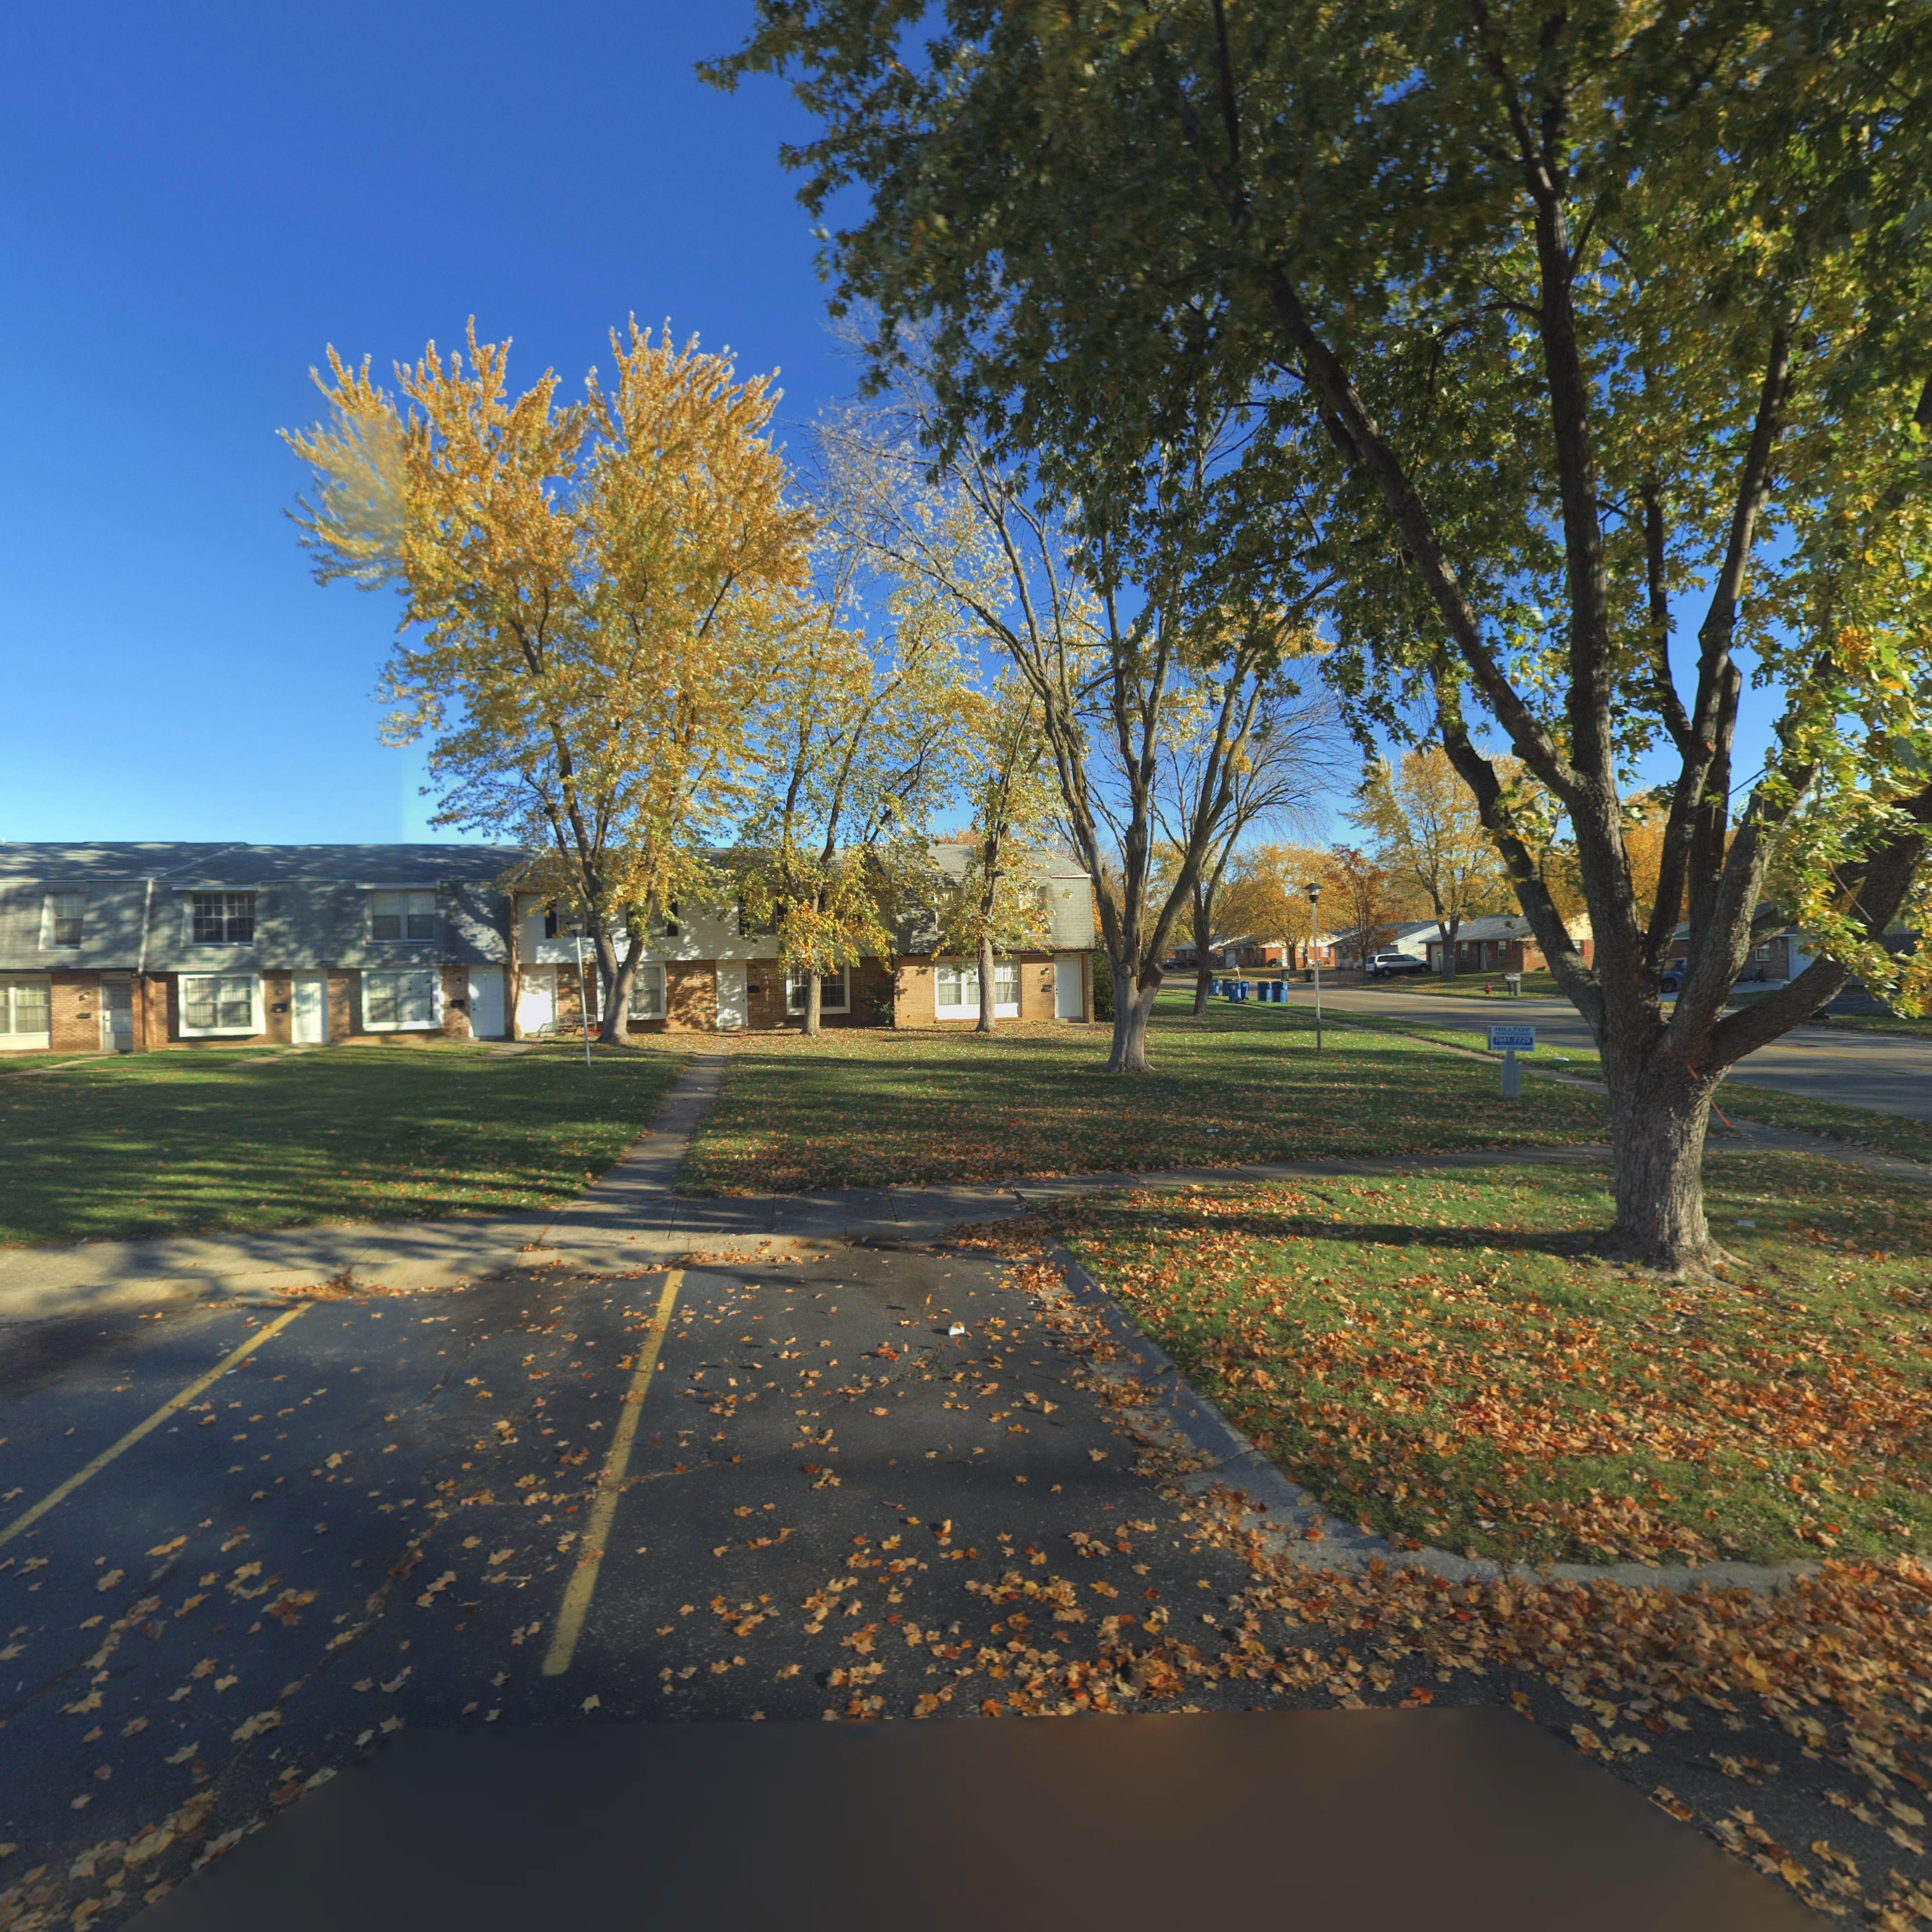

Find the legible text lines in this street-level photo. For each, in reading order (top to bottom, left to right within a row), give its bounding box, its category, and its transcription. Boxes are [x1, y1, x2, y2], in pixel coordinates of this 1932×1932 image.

[726, 961, 737, 965] StreetNumber: **23